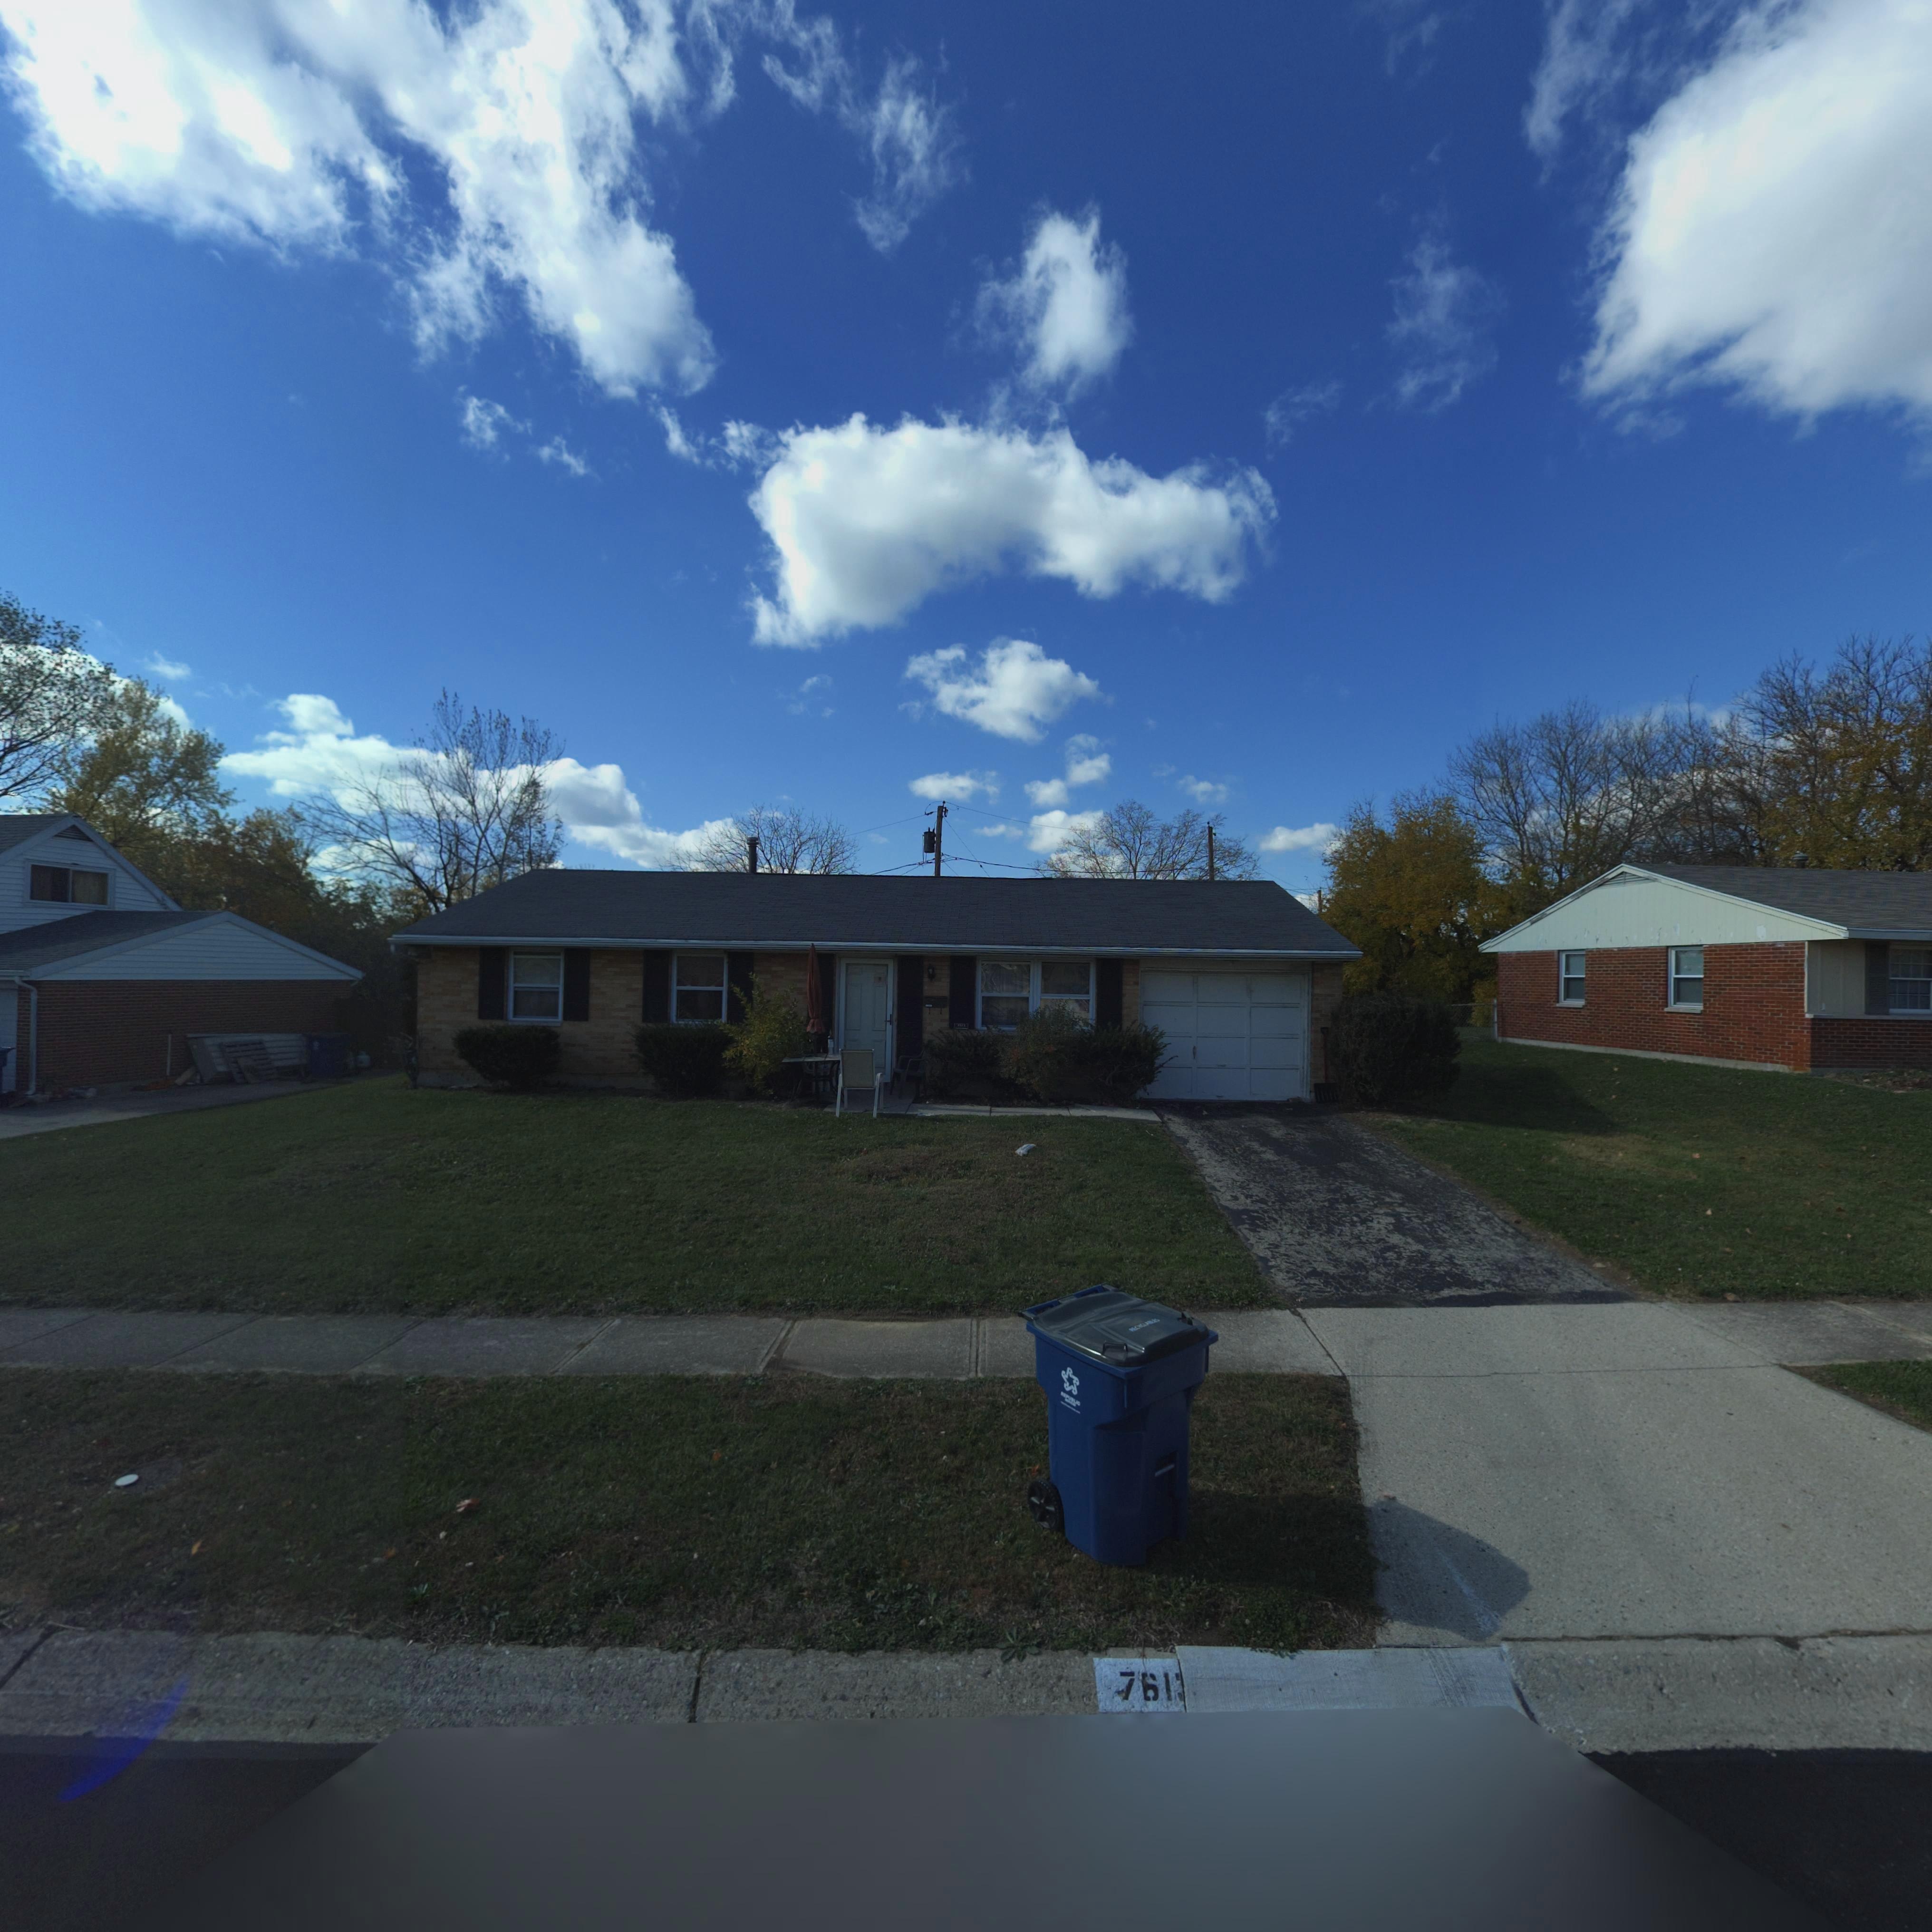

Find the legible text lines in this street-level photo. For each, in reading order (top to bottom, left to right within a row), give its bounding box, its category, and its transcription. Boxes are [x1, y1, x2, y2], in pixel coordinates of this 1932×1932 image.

[961, 1024, 966, 1027] StreetNumber: 13
[1119, 1670, 1174, 1702] StreetNumber: 761